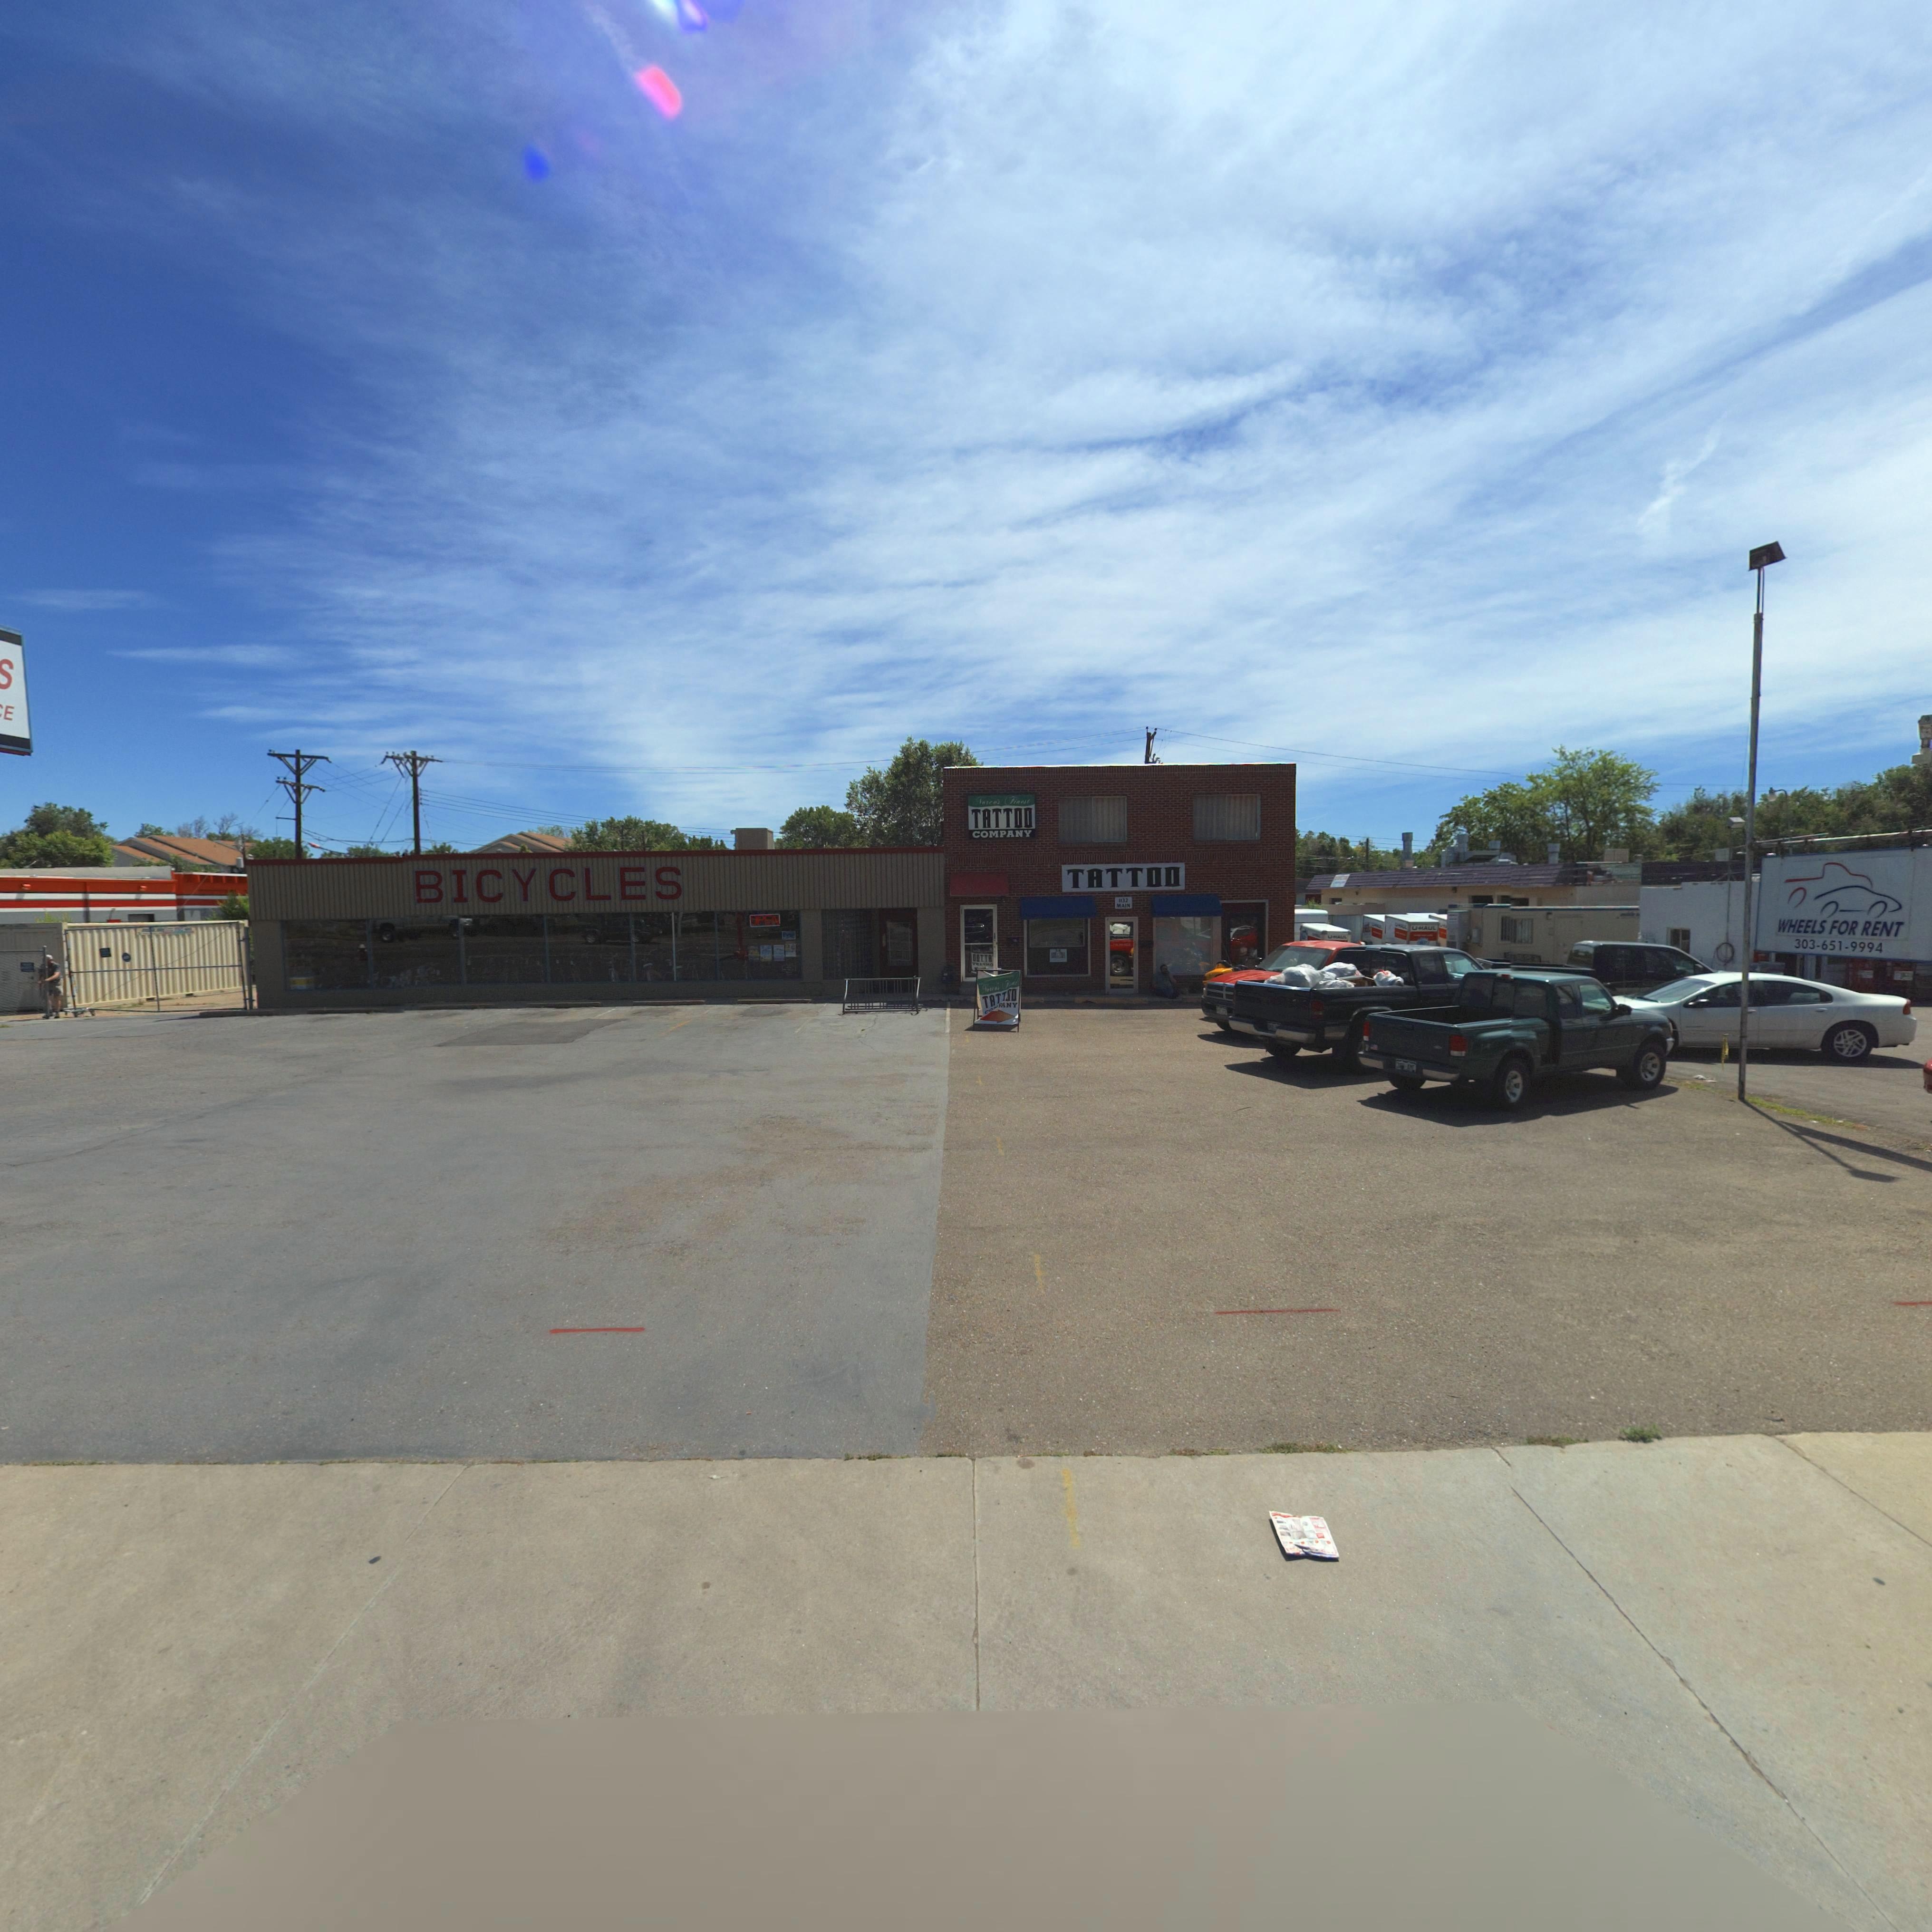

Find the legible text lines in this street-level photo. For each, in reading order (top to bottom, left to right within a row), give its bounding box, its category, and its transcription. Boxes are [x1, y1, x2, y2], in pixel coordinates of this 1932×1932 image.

[977, 796, 1031, 805] BusinessName: ***c** Finest
[971, 807, 1033, 829] BusinessName: TATTOO
[971, 830, 1032, 839] BusinessName: COMPANY
[1066, 866, 1181, 889] BusinessName: TATTOO
[1118, 898, 1128, 902] StreetNumber: 1132
[1116, 903, 1130, 908] StreetName: MAIN
[1777, 918, 1905, 938] BusinessName: WHEELS FOR RENT